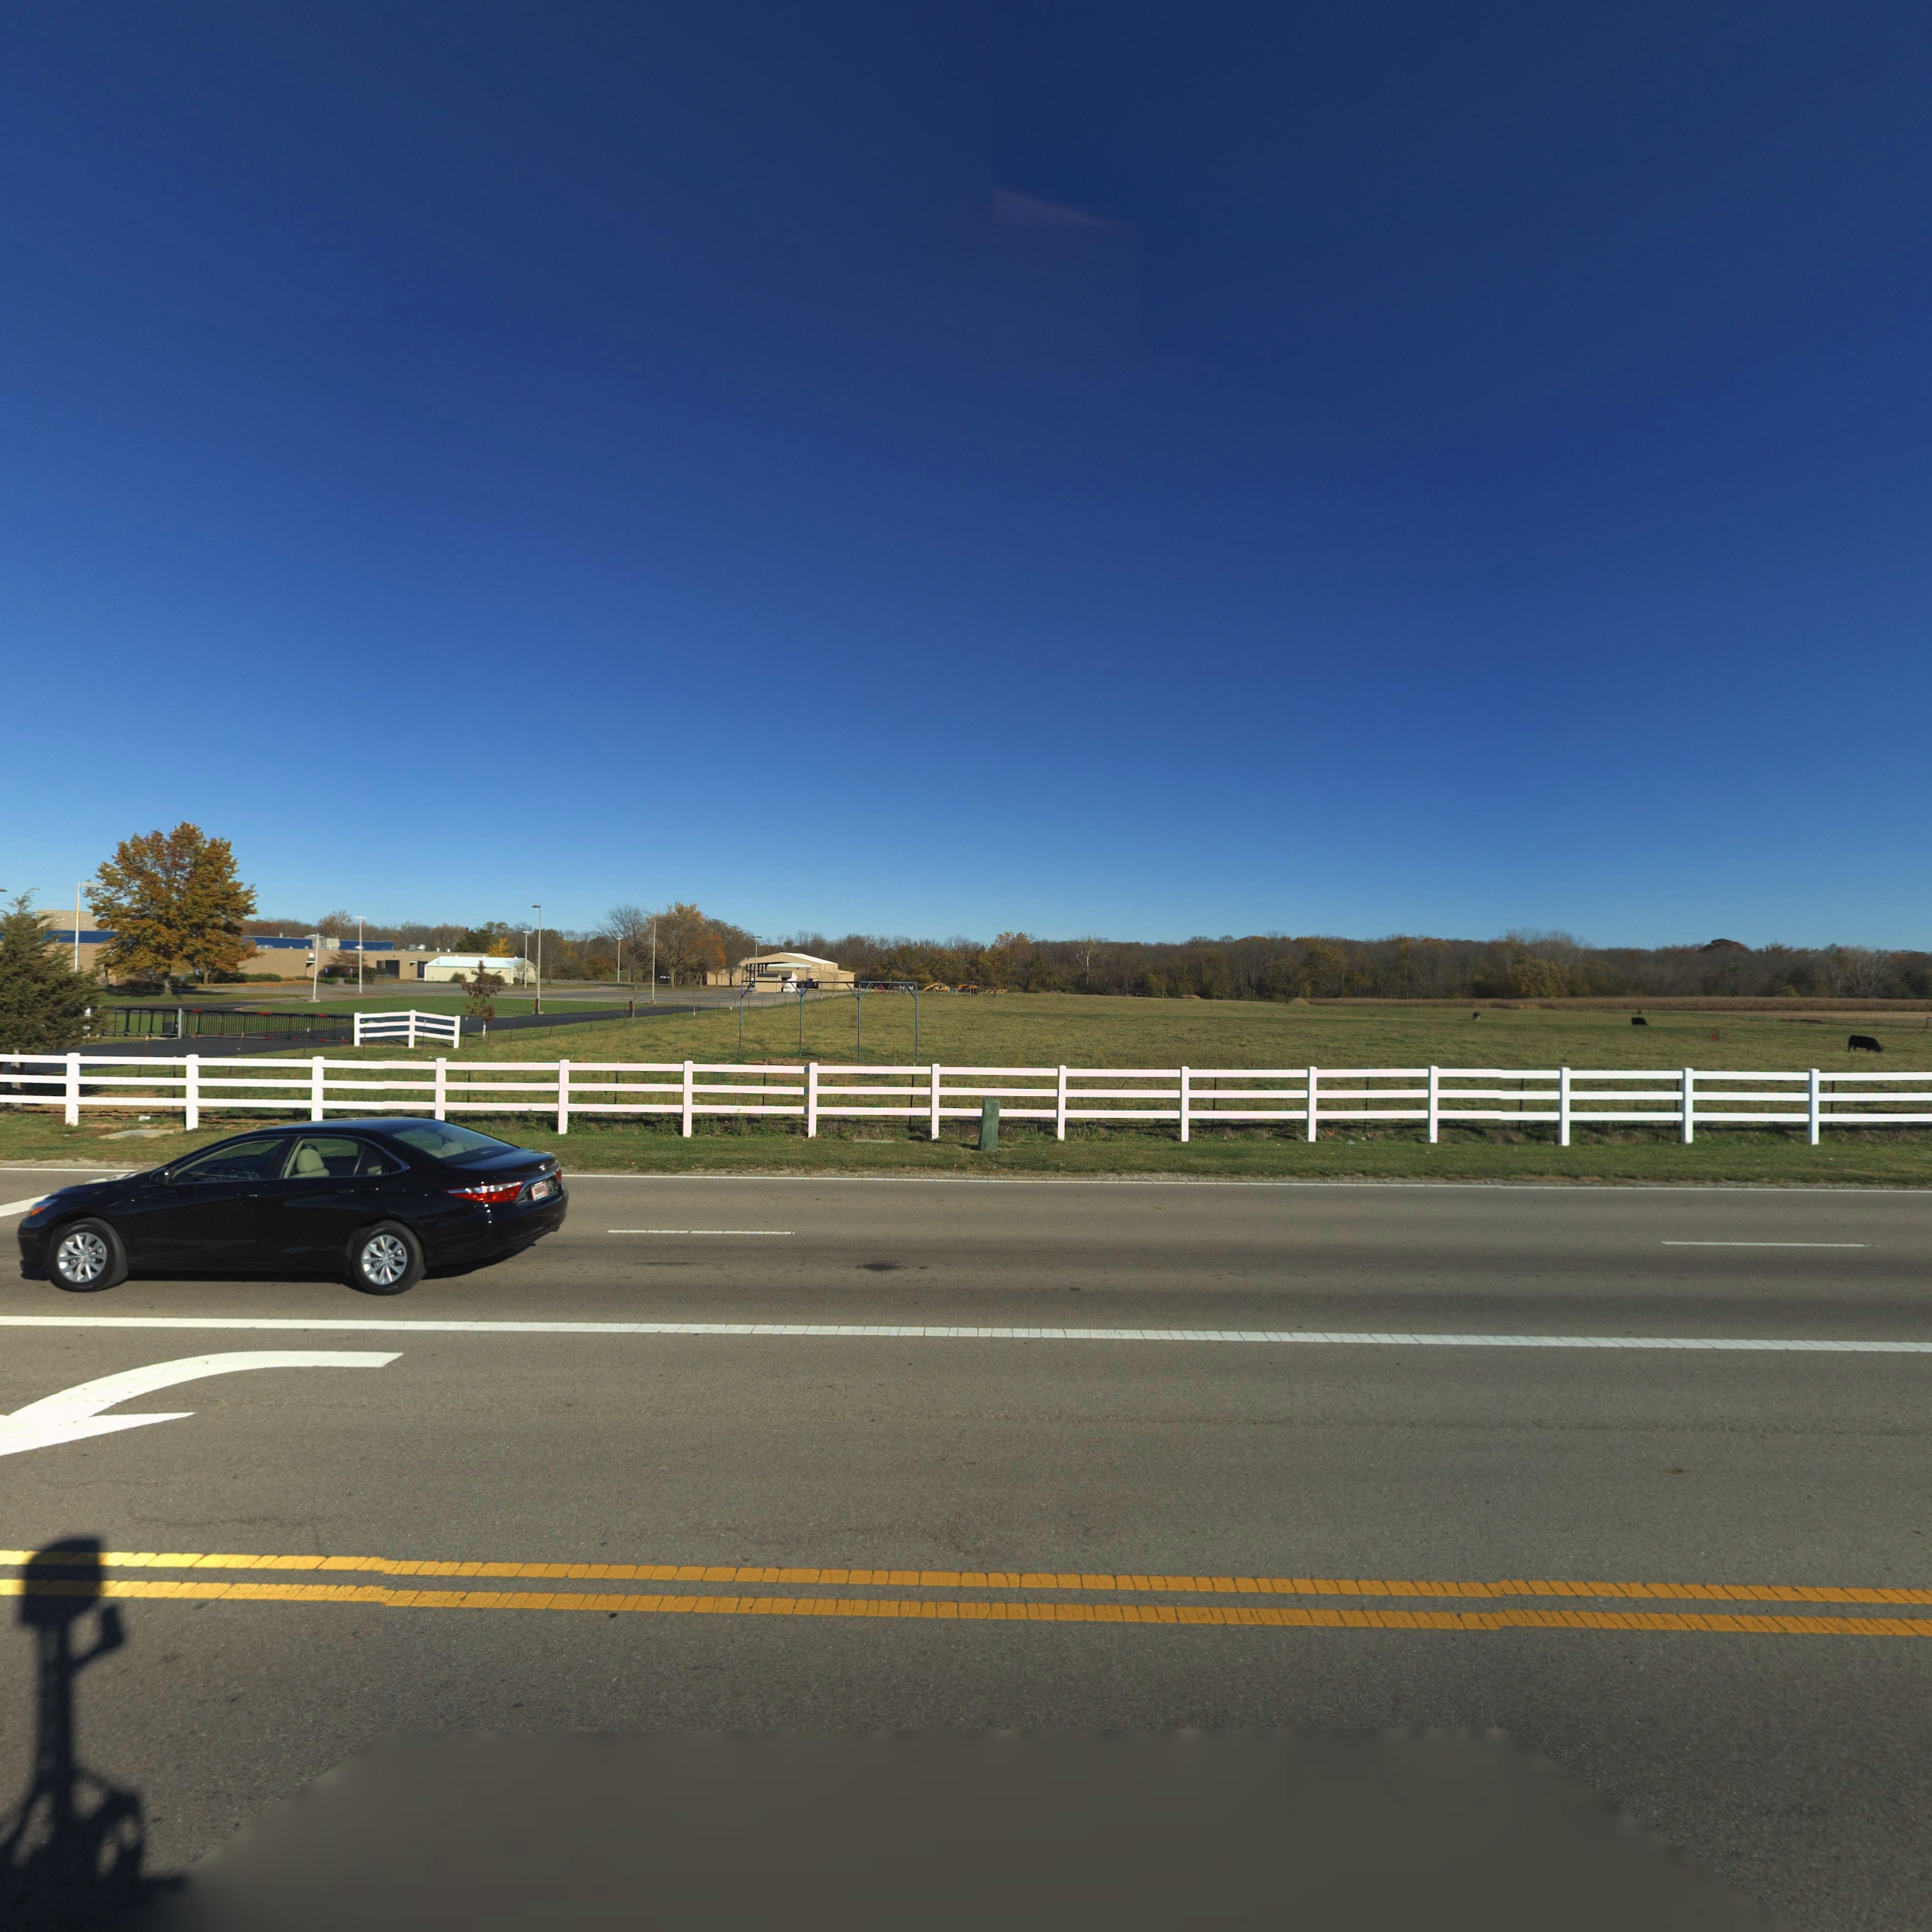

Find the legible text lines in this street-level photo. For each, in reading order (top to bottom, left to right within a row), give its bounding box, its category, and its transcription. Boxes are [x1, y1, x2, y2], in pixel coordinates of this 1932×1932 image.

[309, 952, 314, 958] StreetNumber: 16